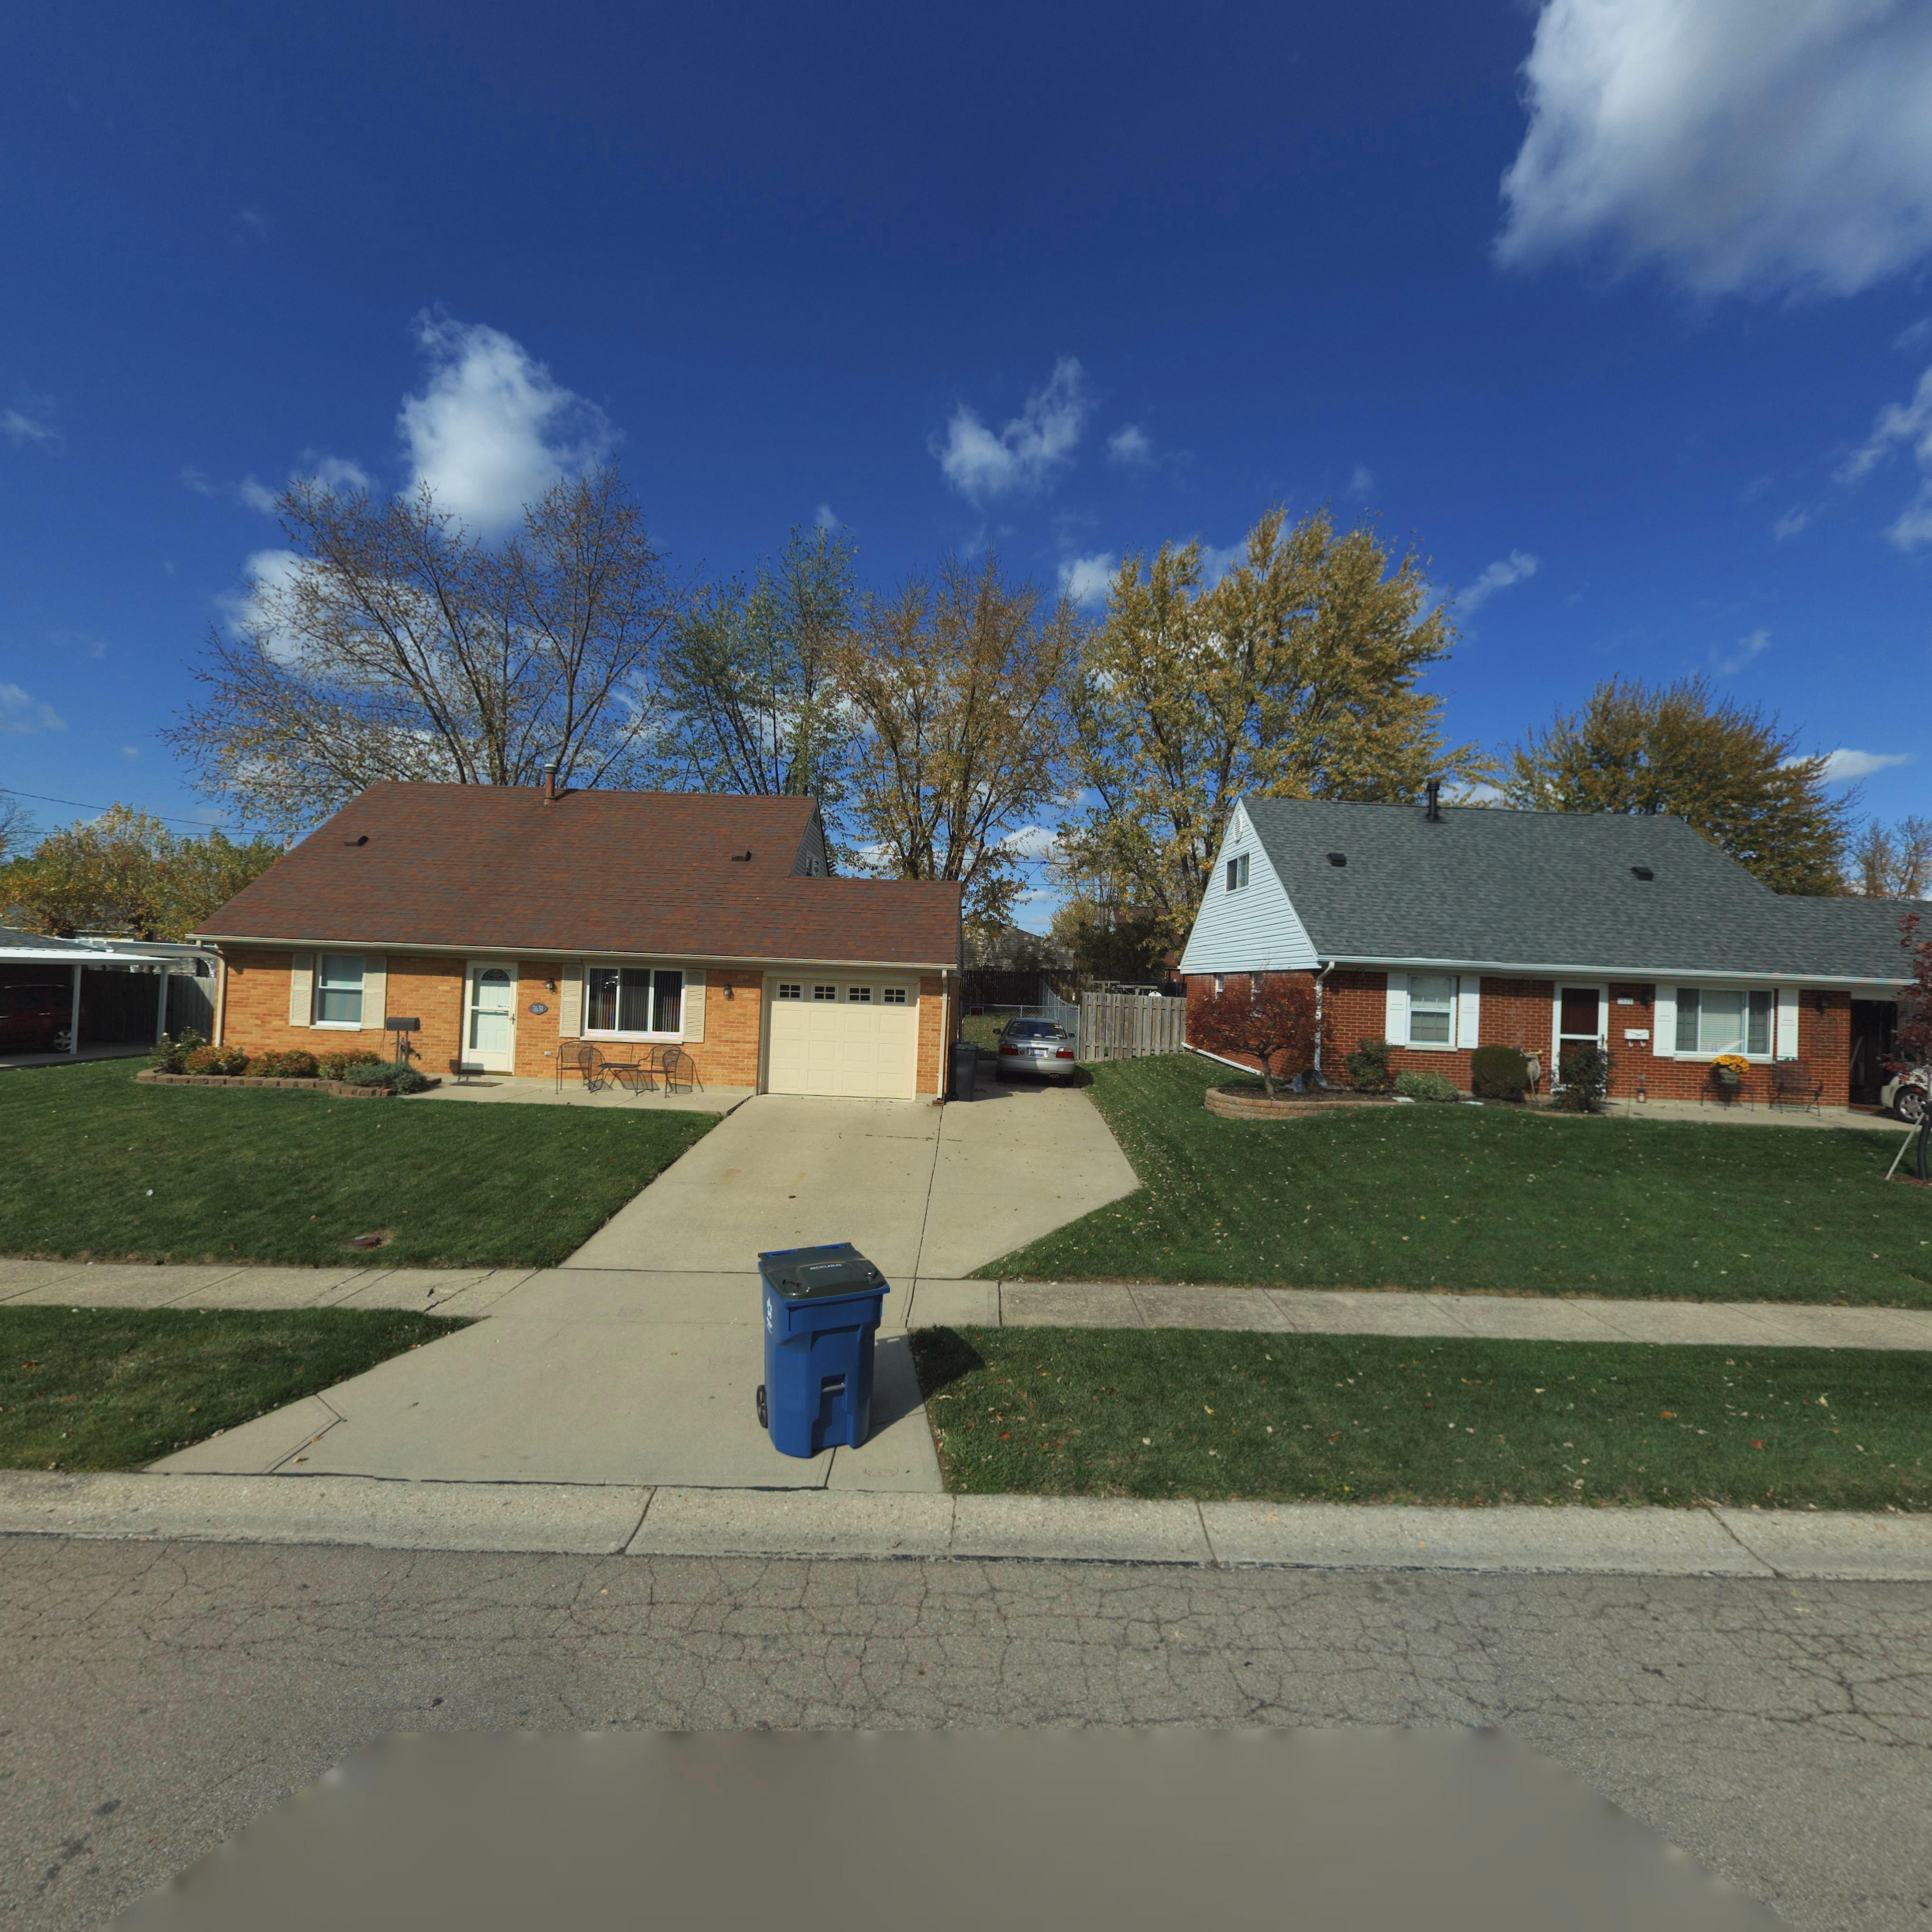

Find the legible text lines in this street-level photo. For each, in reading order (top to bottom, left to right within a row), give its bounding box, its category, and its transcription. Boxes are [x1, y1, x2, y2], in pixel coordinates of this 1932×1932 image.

[1618, 998, 1633, 1005] StreetNumber: 7**5
[531, 1005, 544, 1012] StreetNumber: 7631